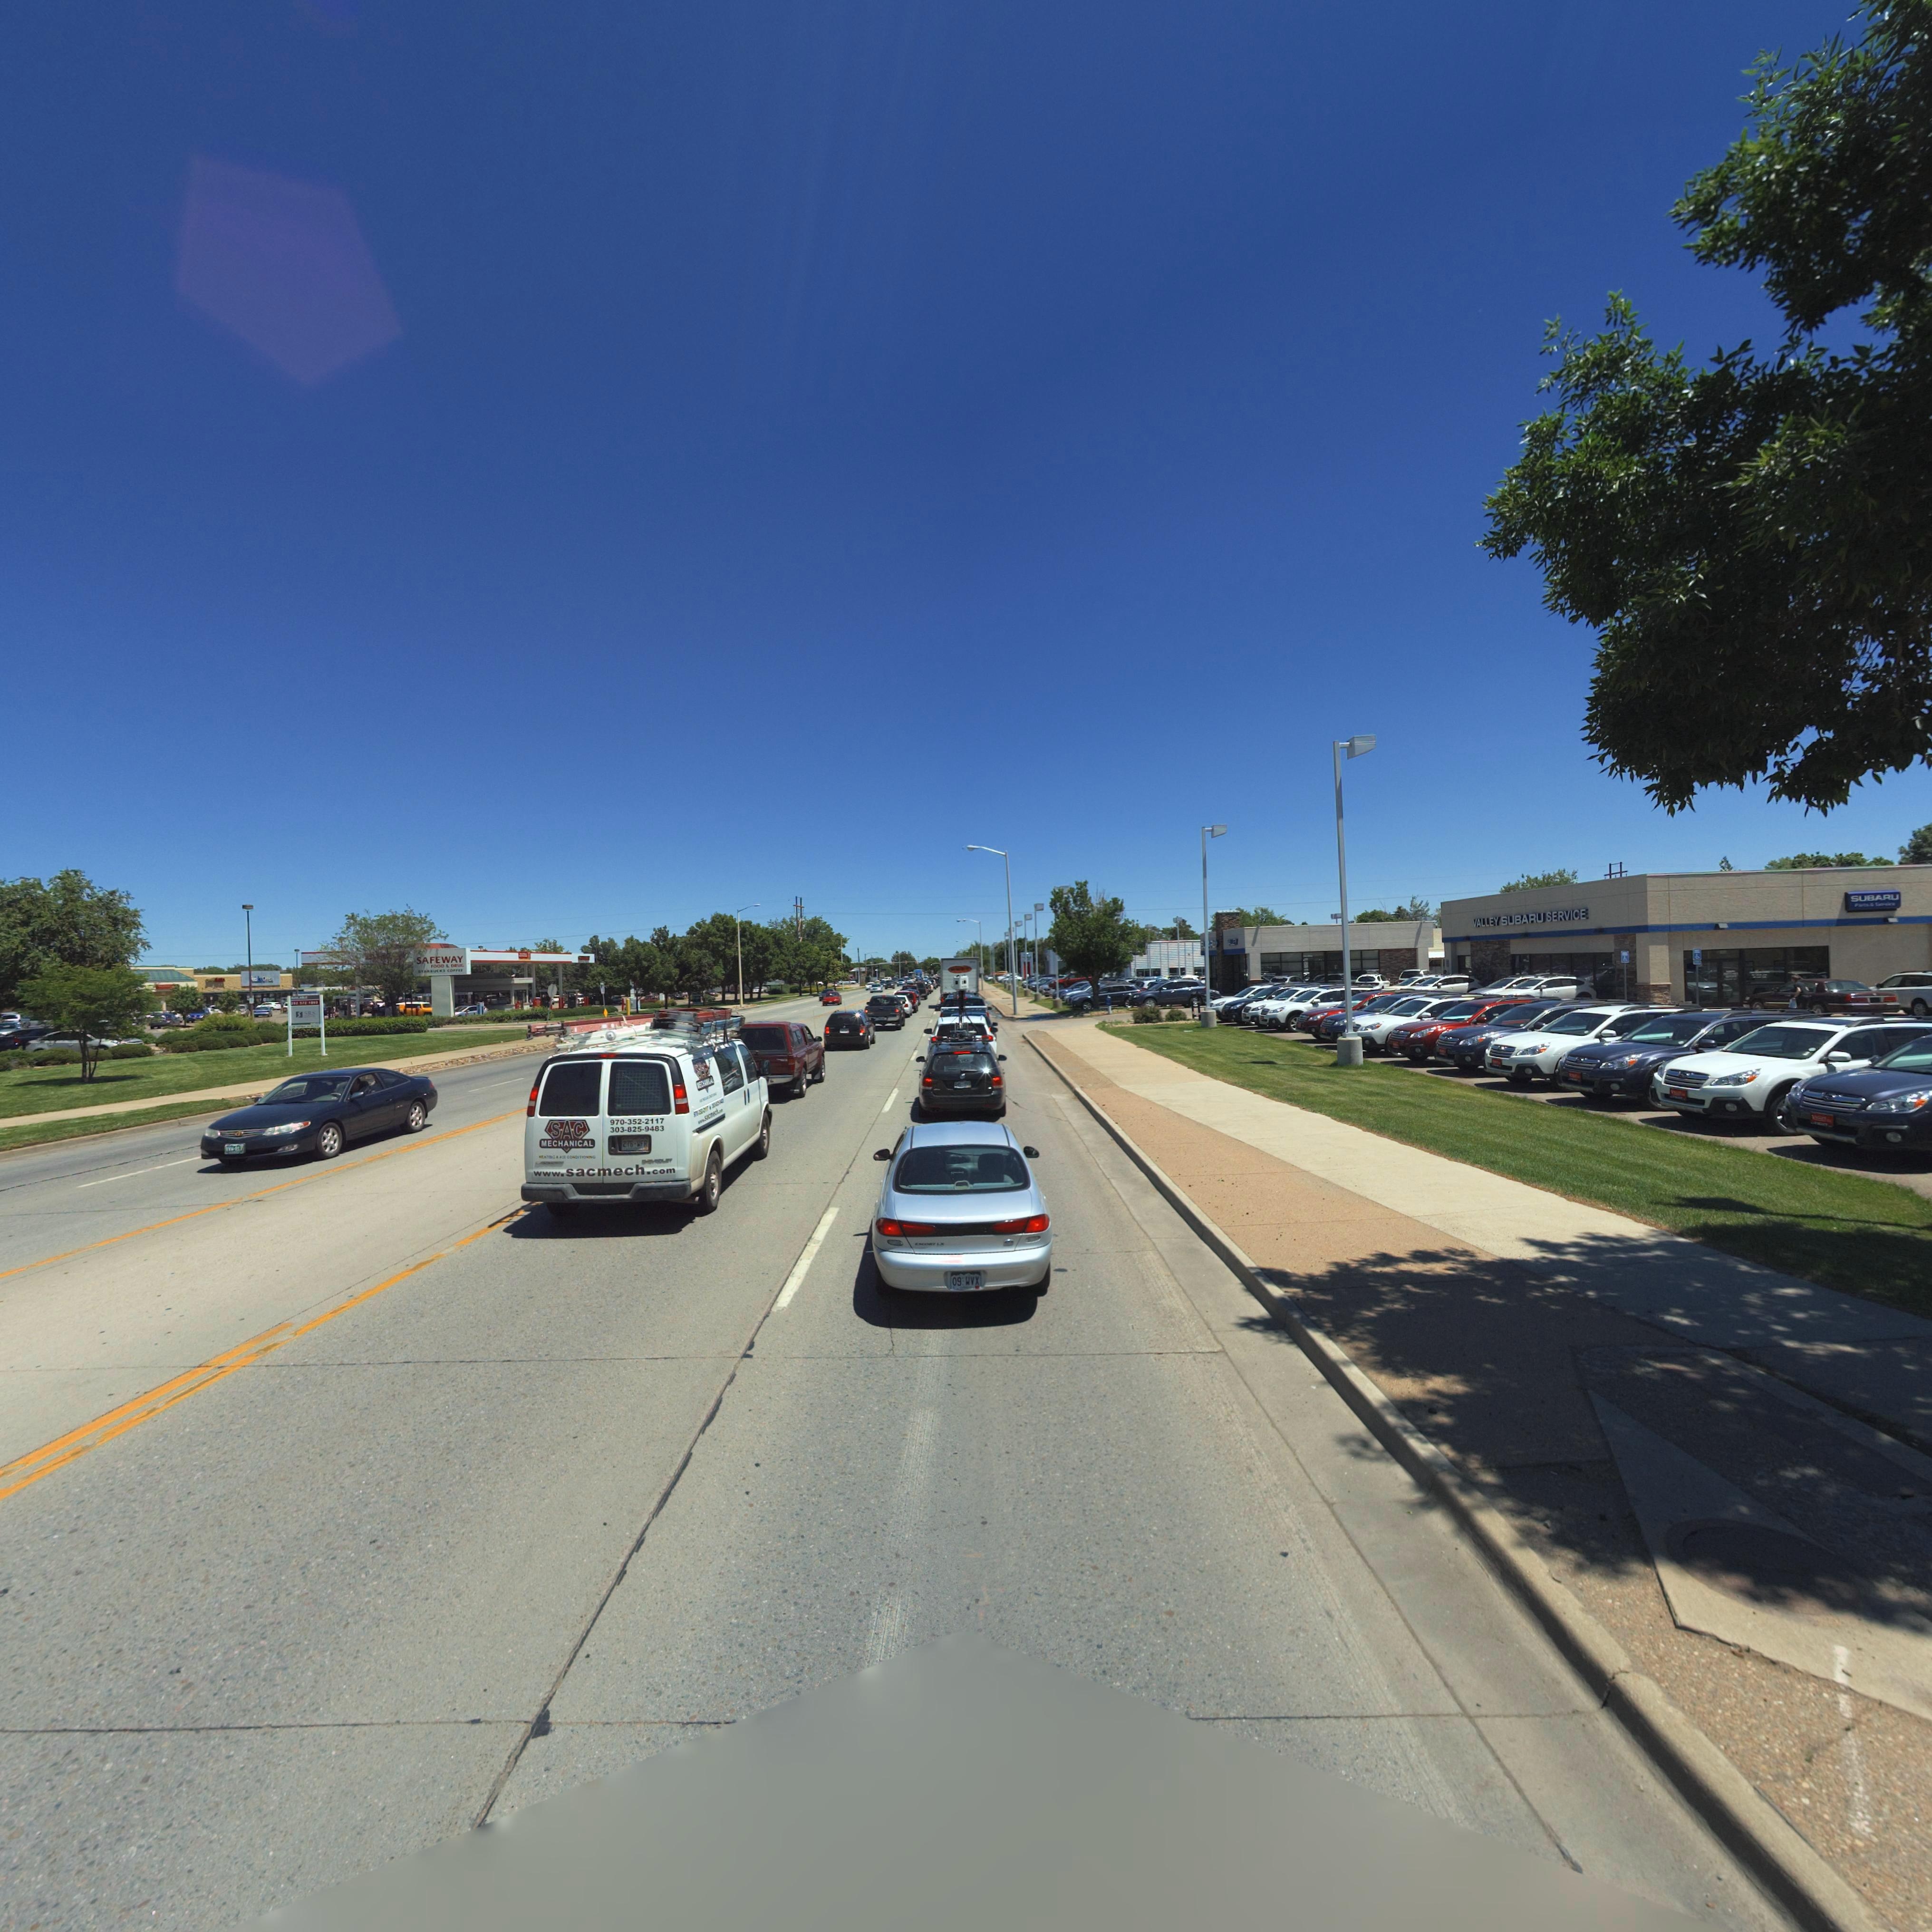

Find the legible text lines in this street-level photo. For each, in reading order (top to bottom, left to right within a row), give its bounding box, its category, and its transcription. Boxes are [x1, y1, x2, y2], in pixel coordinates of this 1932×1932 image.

[1850, 893, 1900, 902] BusinessName: SUBARU
[1200, 939, 1217, 948] BusinessName: S***R*
[416, 955, 463, 964] BusinessName: SAFEWAY
[417, 968, 463, 973] BusinessName: *****UCK* CO****
[251, 975, 274, 983] BusinessName: **d******